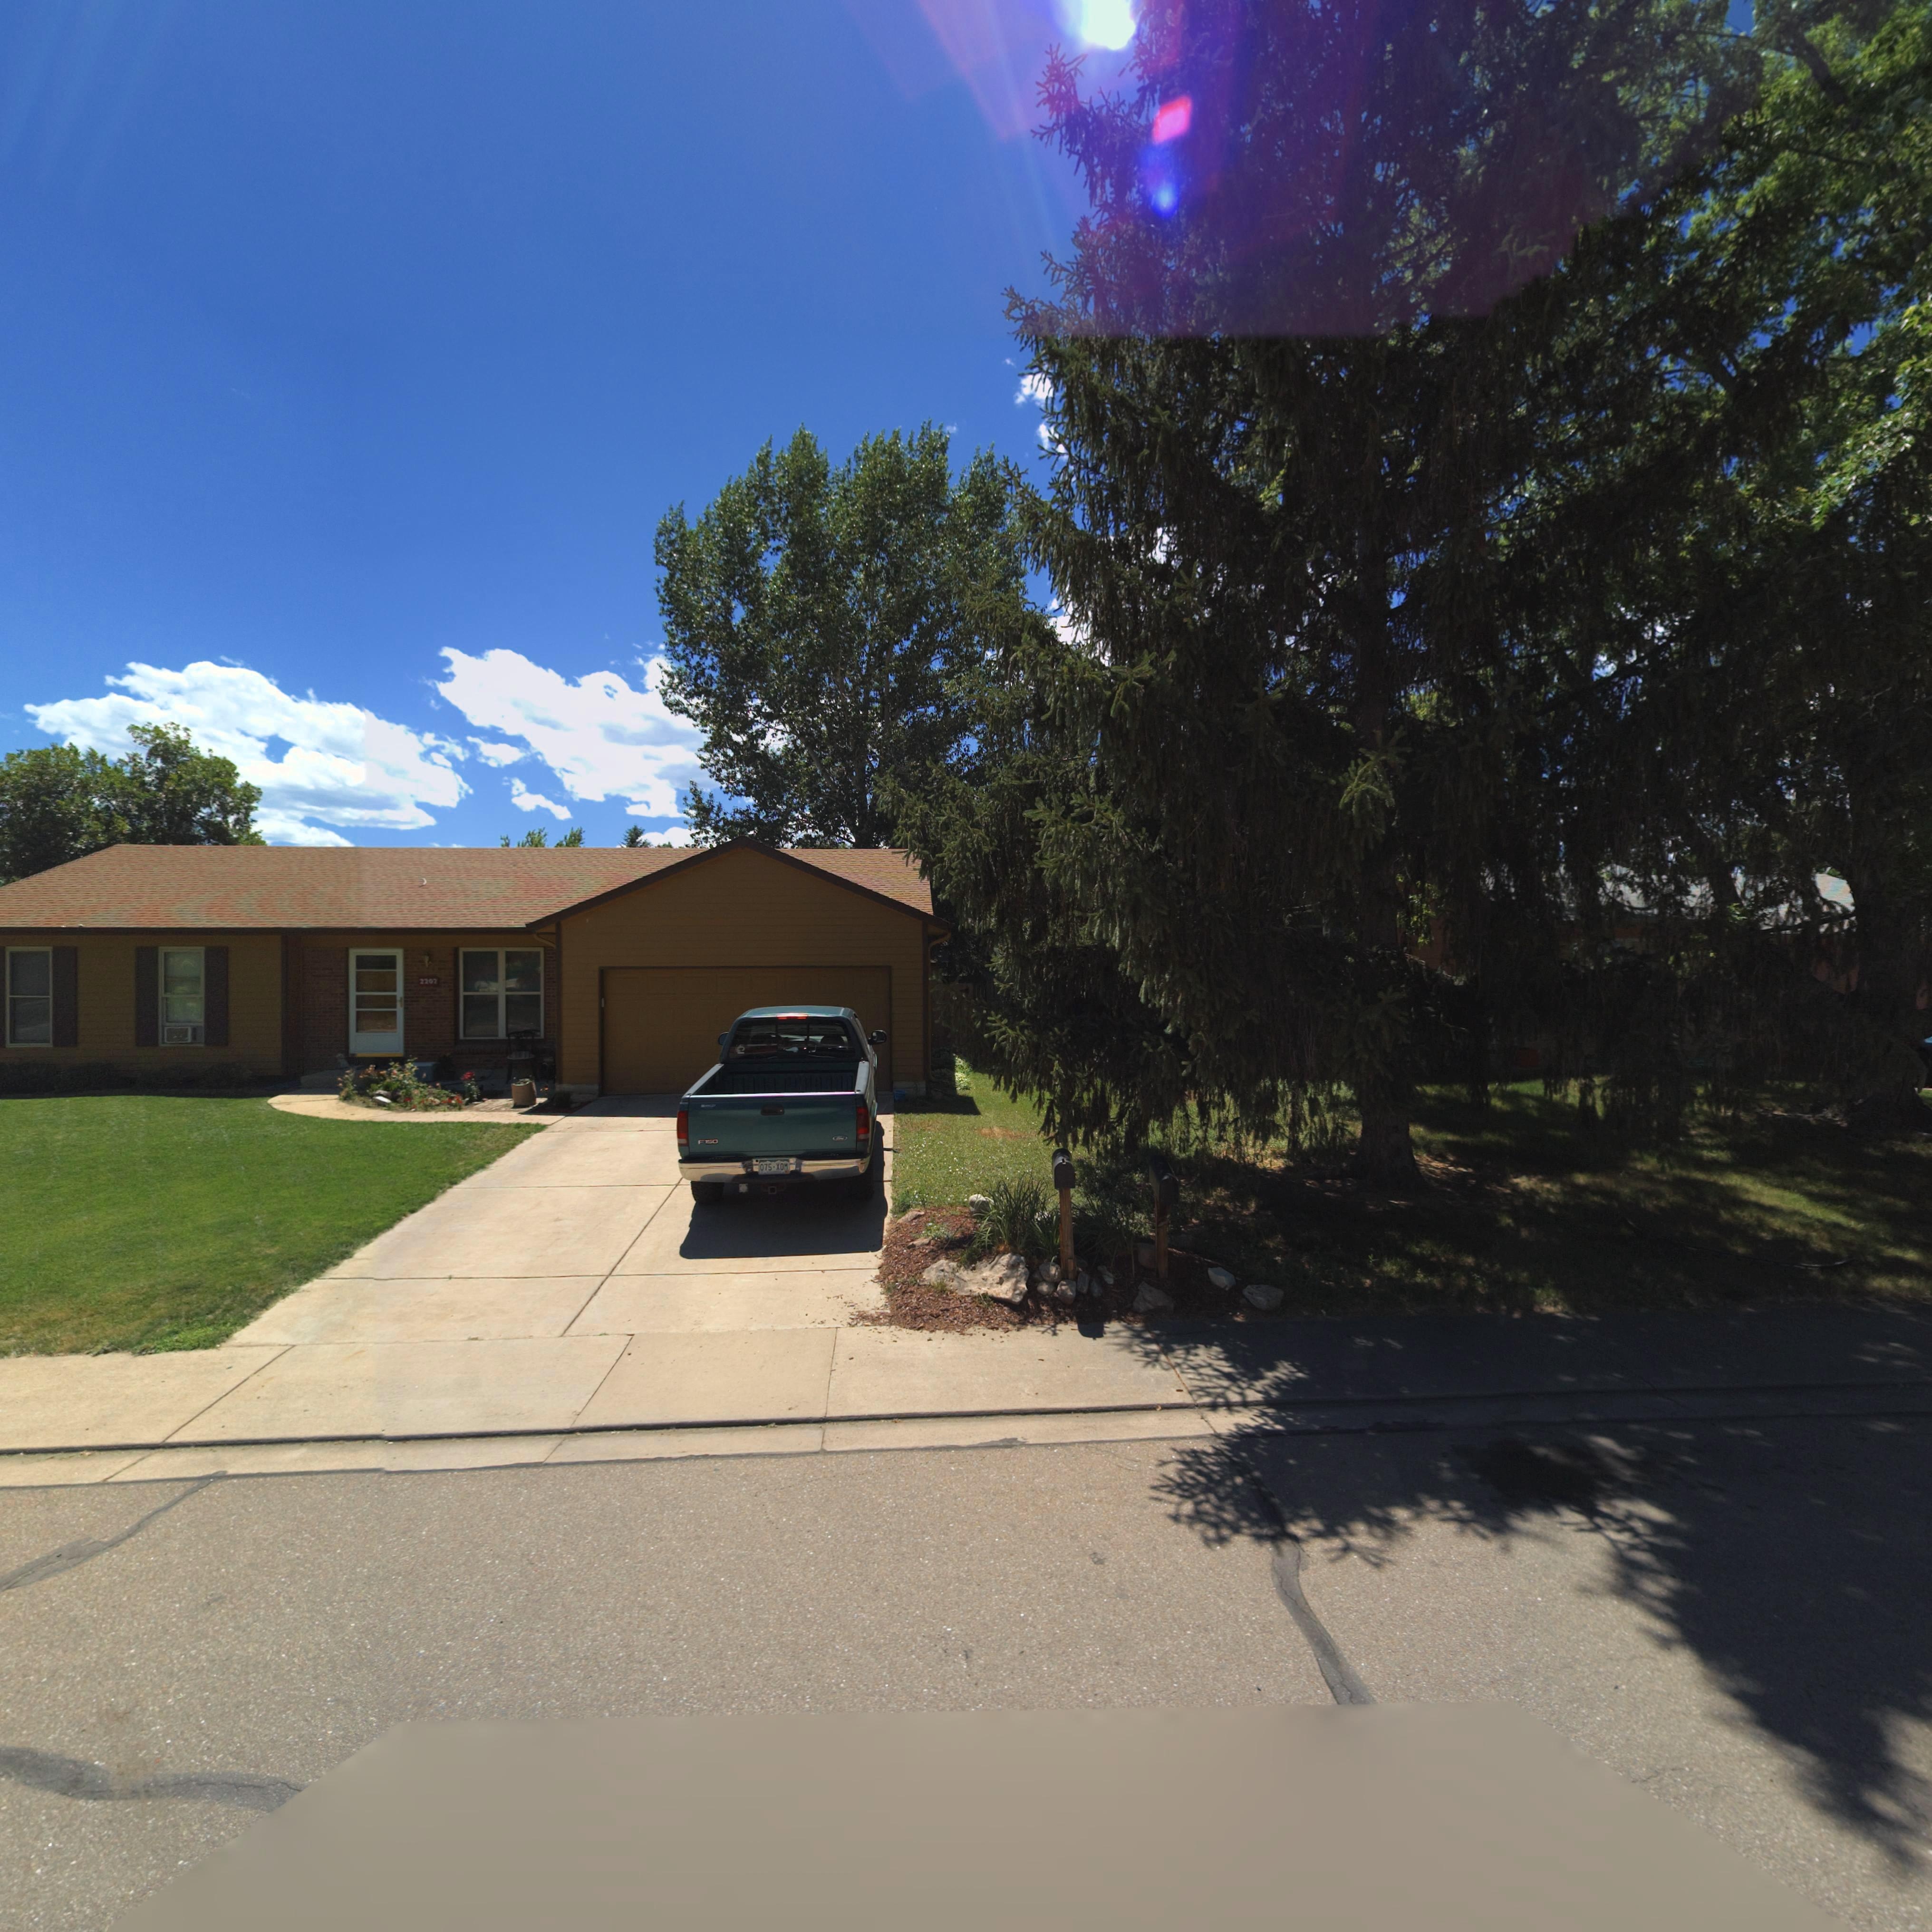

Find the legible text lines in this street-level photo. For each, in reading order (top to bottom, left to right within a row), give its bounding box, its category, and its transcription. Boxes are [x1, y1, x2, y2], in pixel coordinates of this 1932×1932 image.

[419, 978, 437, 984] StreetNumber: 2207